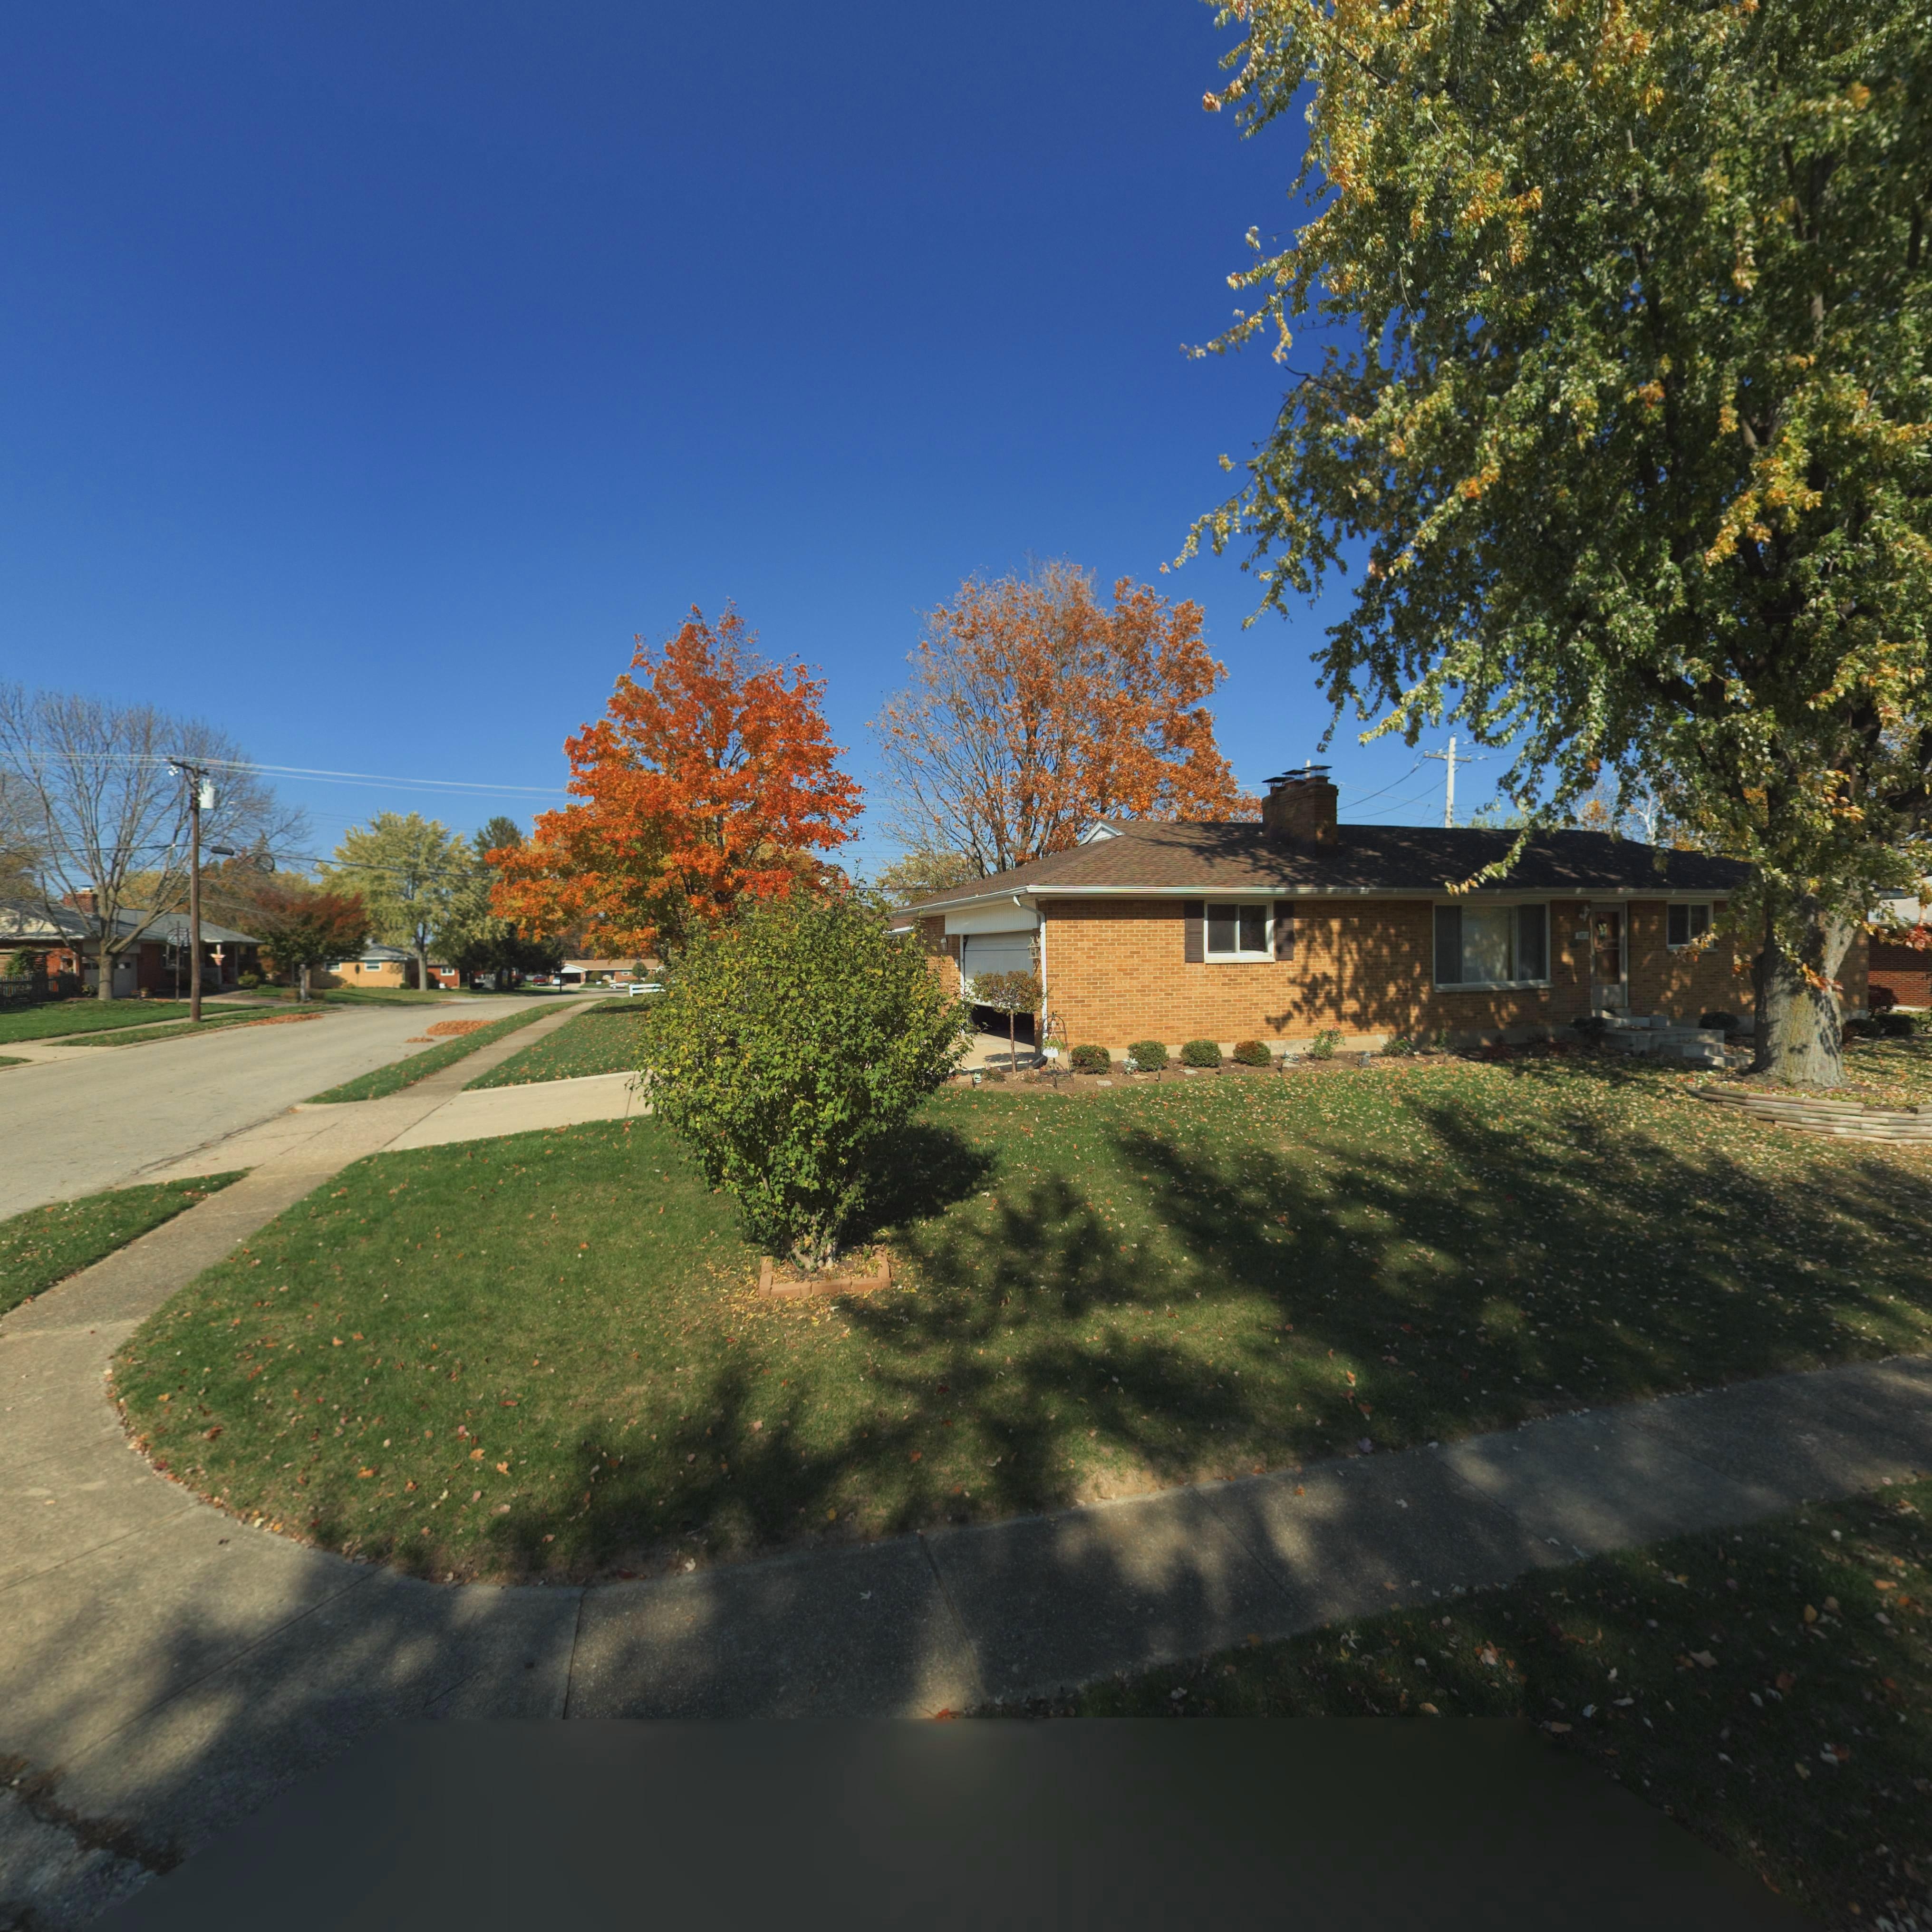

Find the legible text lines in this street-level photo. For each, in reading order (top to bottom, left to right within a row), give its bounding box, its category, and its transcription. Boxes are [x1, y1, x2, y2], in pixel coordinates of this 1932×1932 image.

[1576, 932, 1589, 939] StreetNumber: 1001